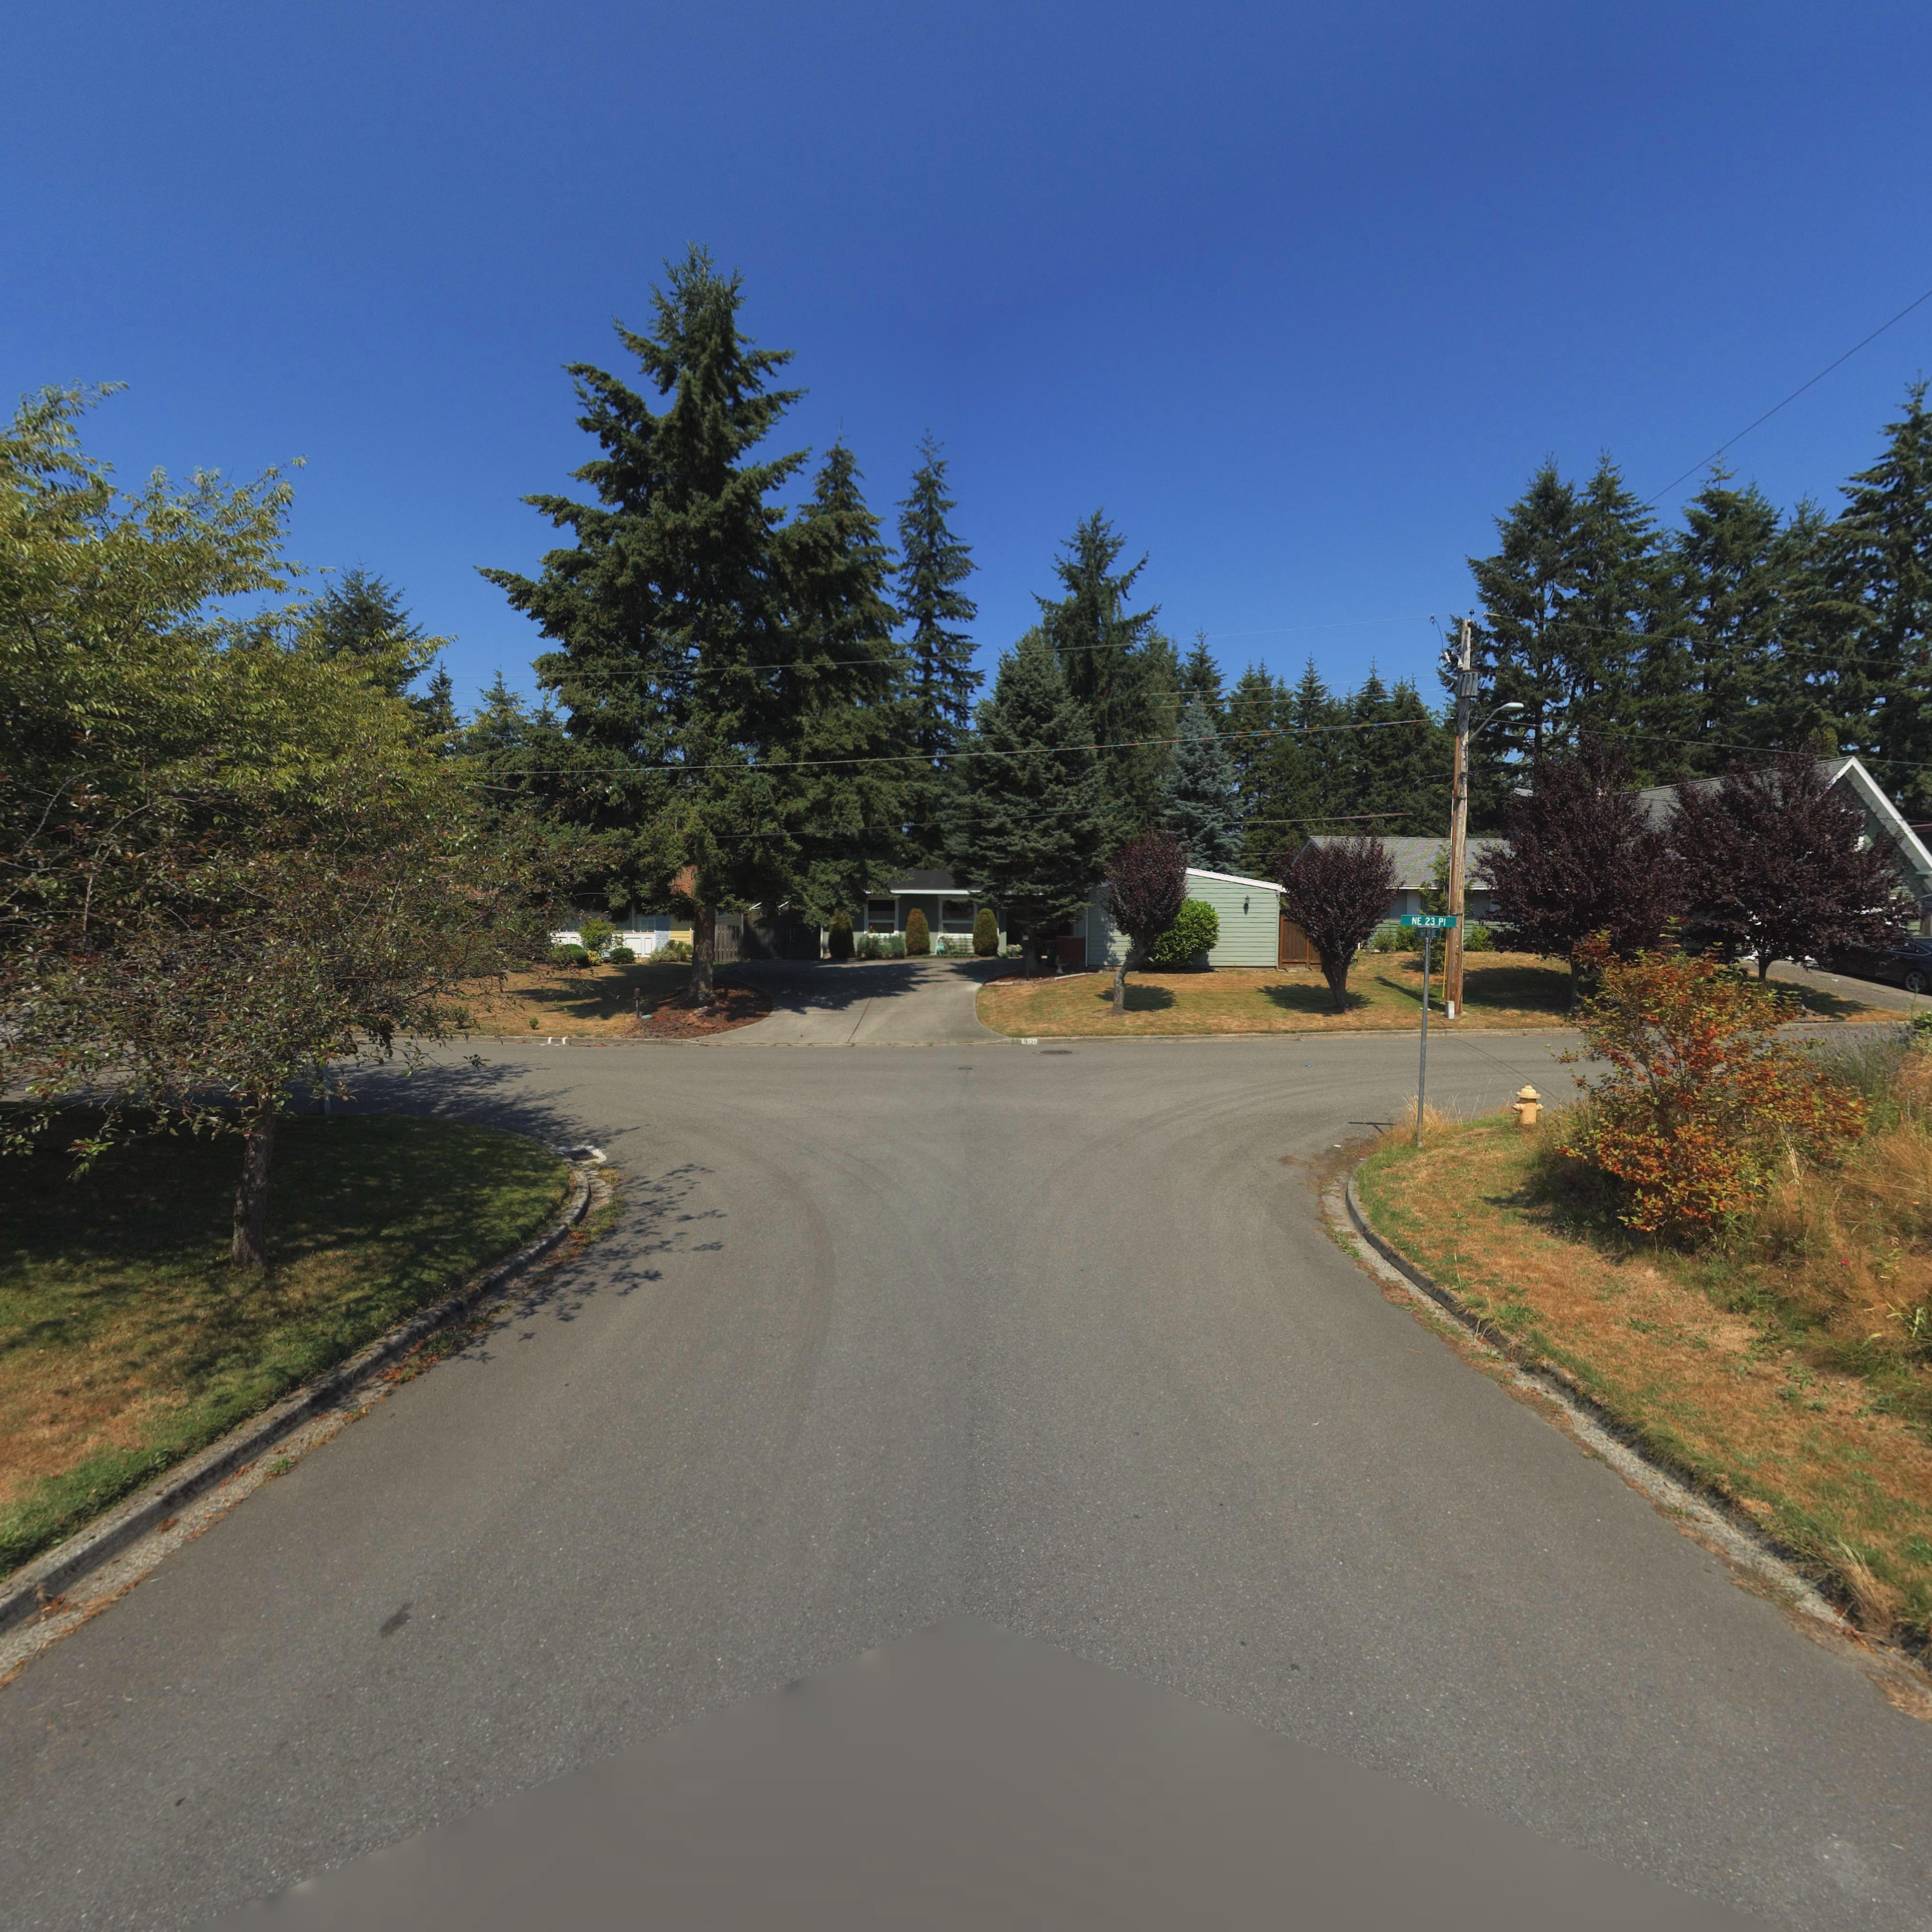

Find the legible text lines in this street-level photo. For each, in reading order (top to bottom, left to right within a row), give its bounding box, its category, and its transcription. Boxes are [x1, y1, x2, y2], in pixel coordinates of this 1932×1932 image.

[1411, 917, 1446, 926] StreetName: NE 23 PL